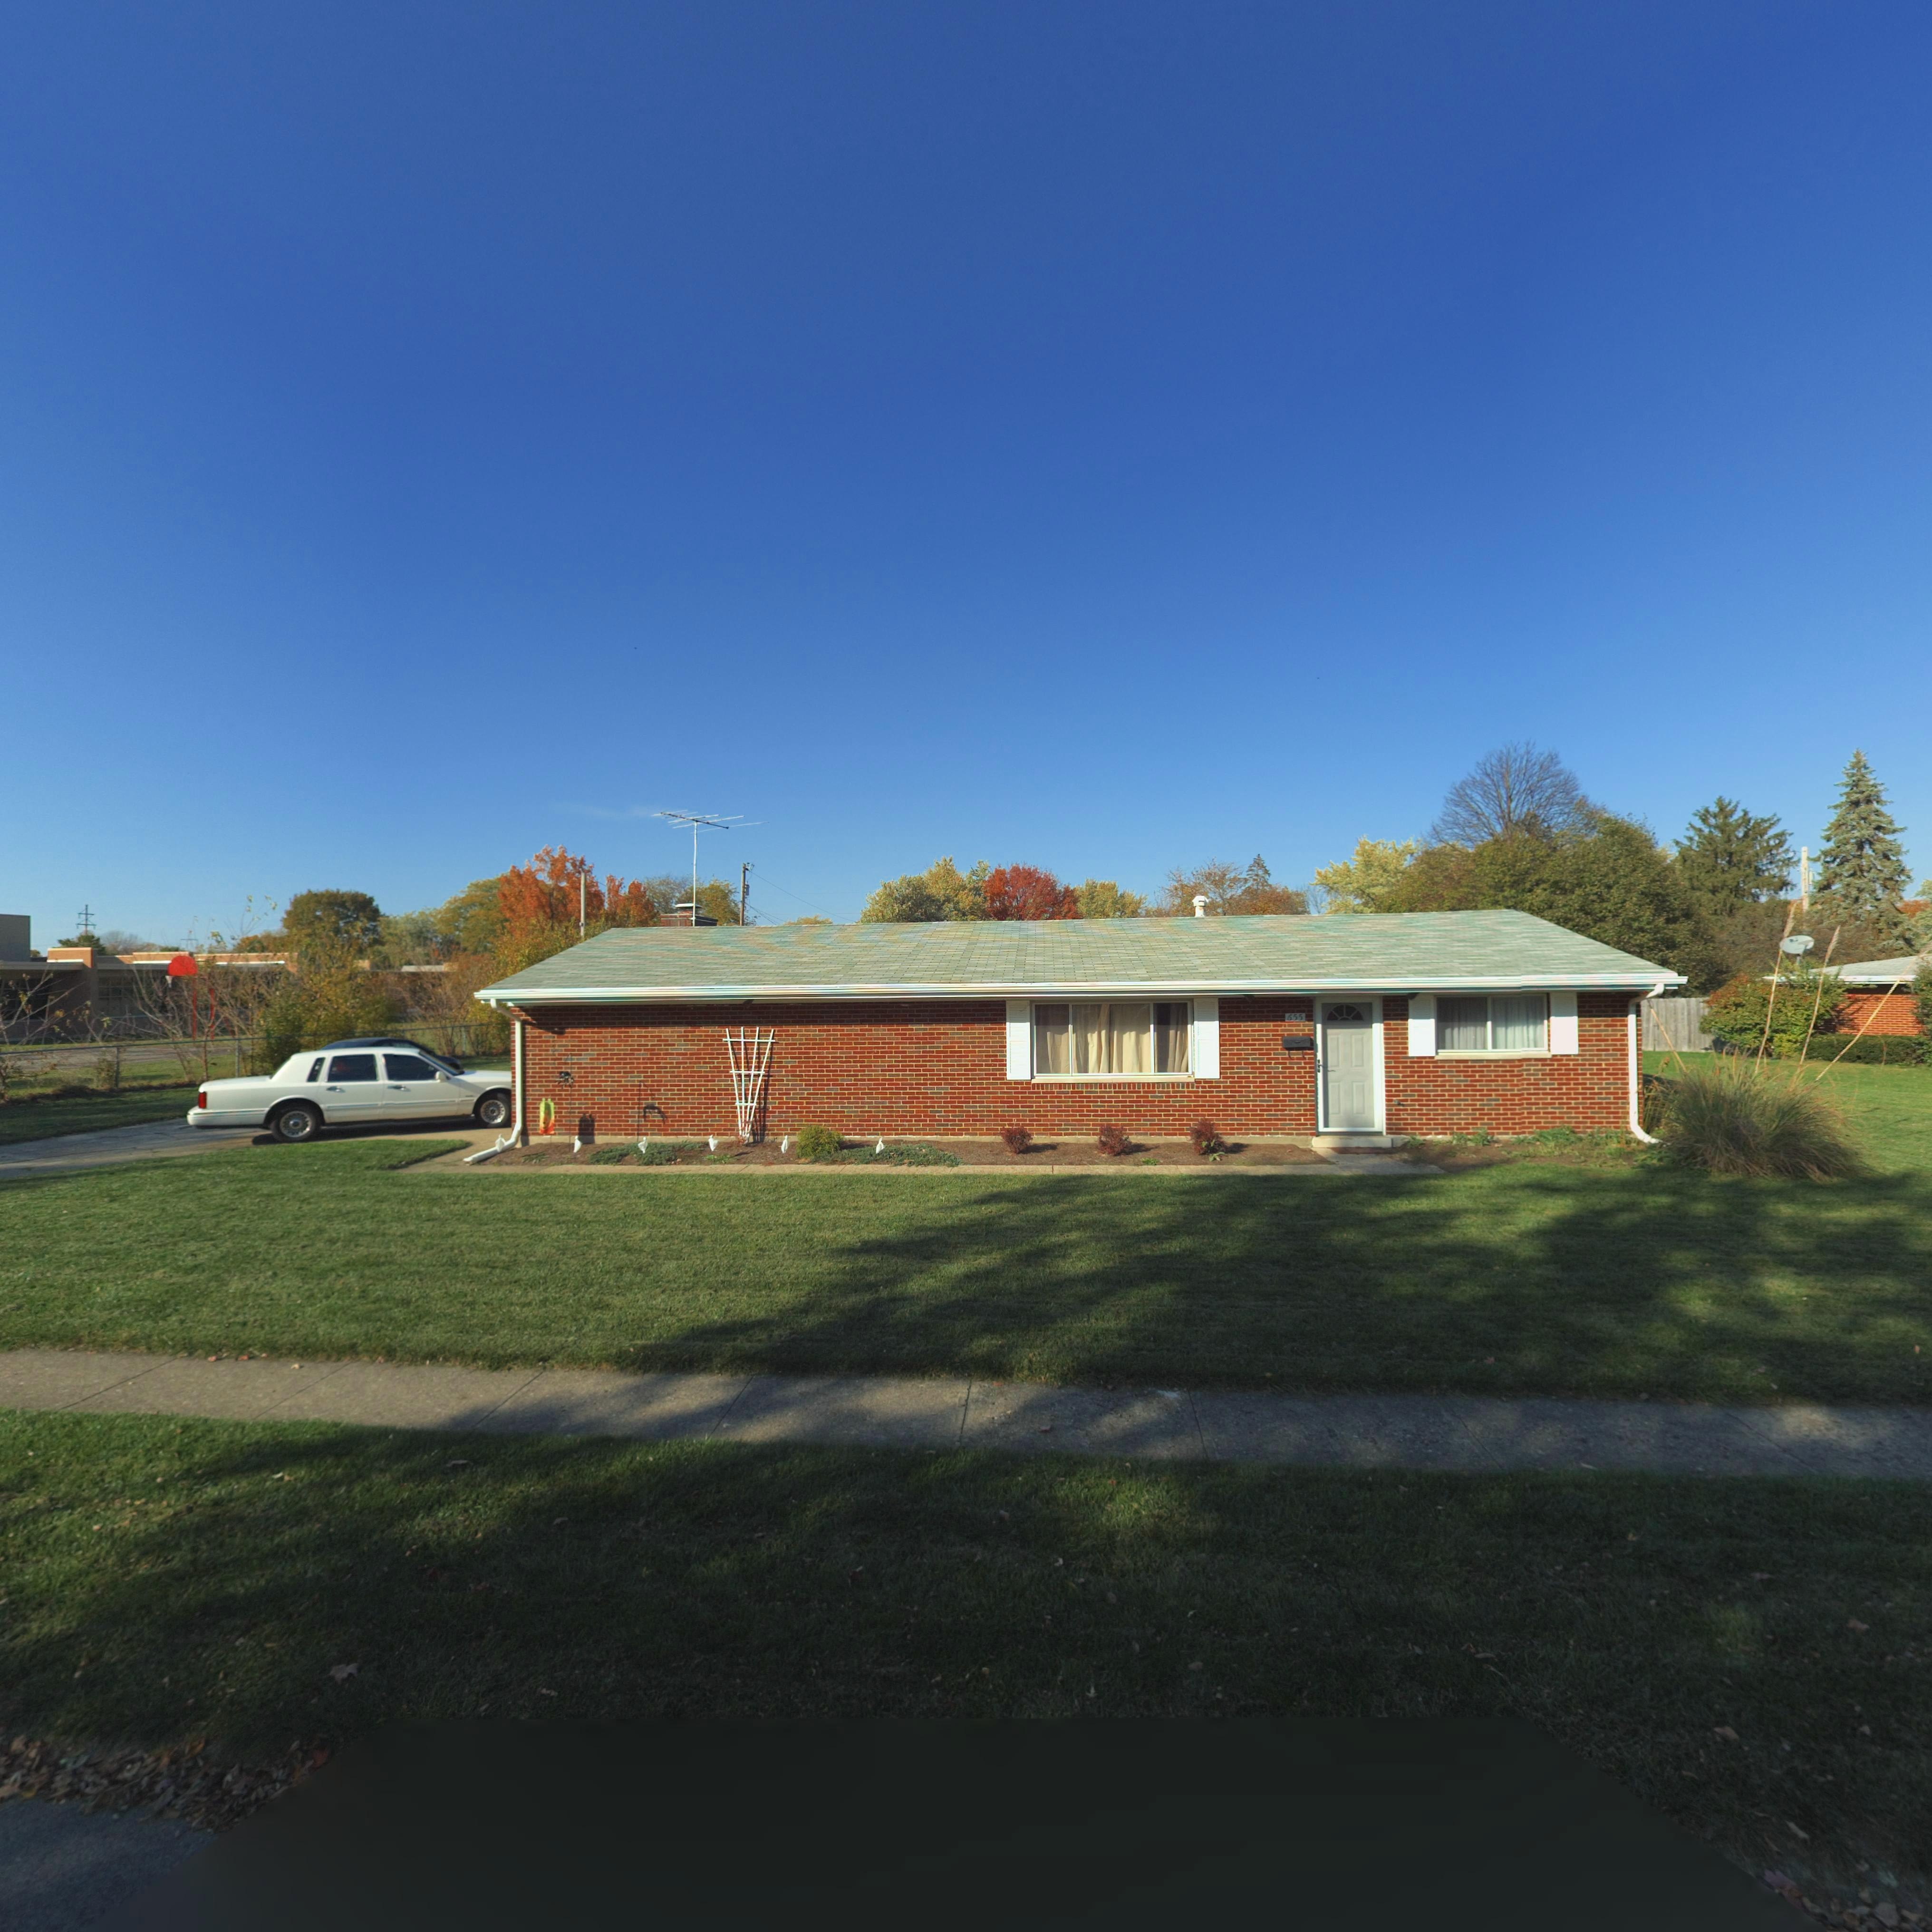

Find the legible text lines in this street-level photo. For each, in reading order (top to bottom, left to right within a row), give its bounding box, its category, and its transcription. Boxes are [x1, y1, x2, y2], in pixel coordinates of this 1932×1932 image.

[1286, 1014, 1303, 1021] StreetNumber: 655